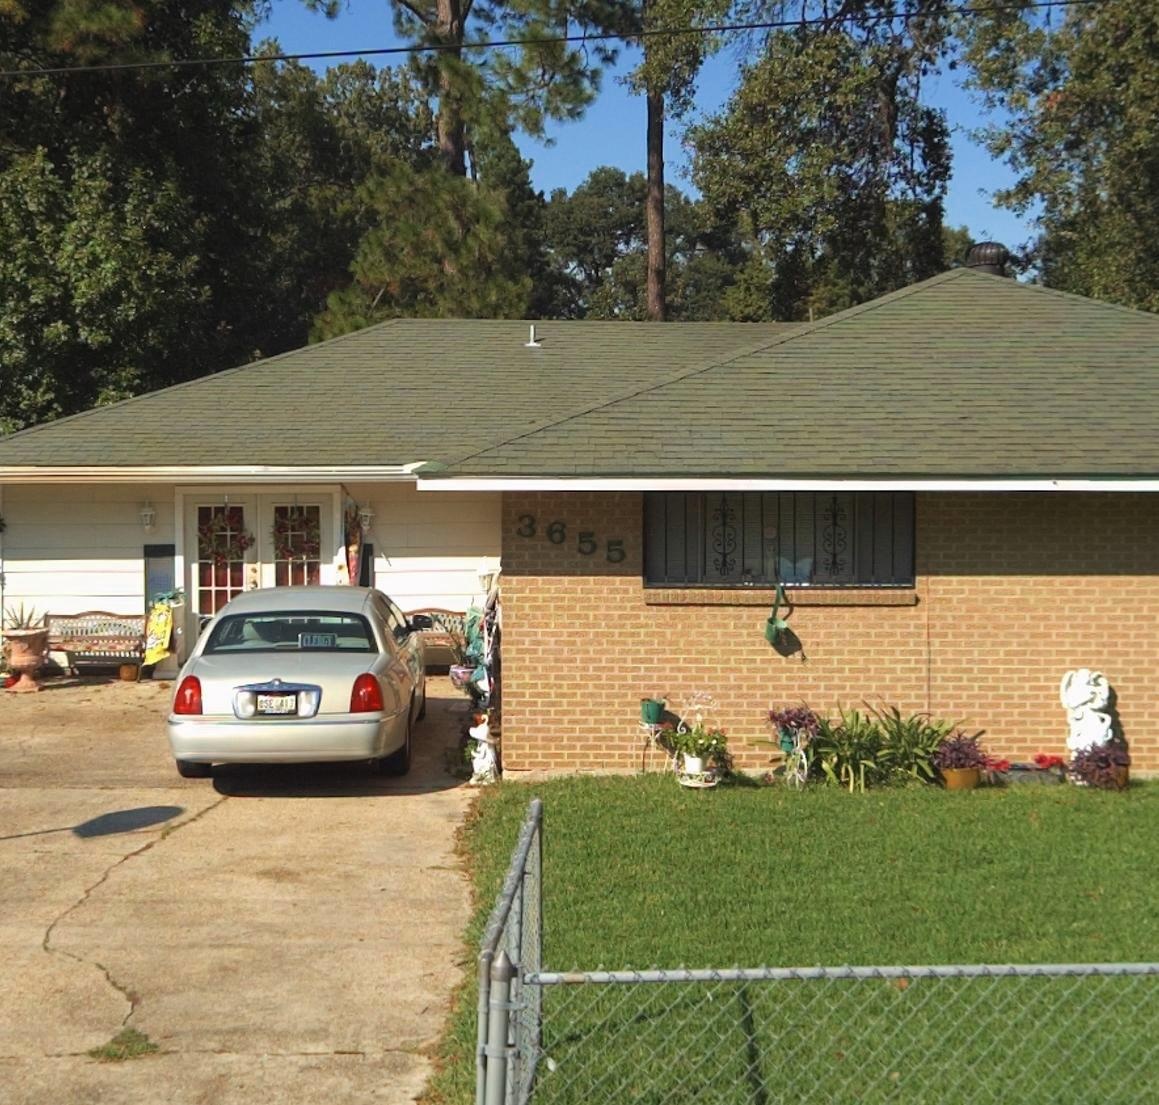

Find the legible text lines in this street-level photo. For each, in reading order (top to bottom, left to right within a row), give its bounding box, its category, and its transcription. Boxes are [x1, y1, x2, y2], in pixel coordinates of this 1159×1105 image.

[516, 513, 627, 564] StreetNumber: 3655
[302, 635, 334, 647] None: CLERGY
[263, 698, 294, 709] None: SE*413